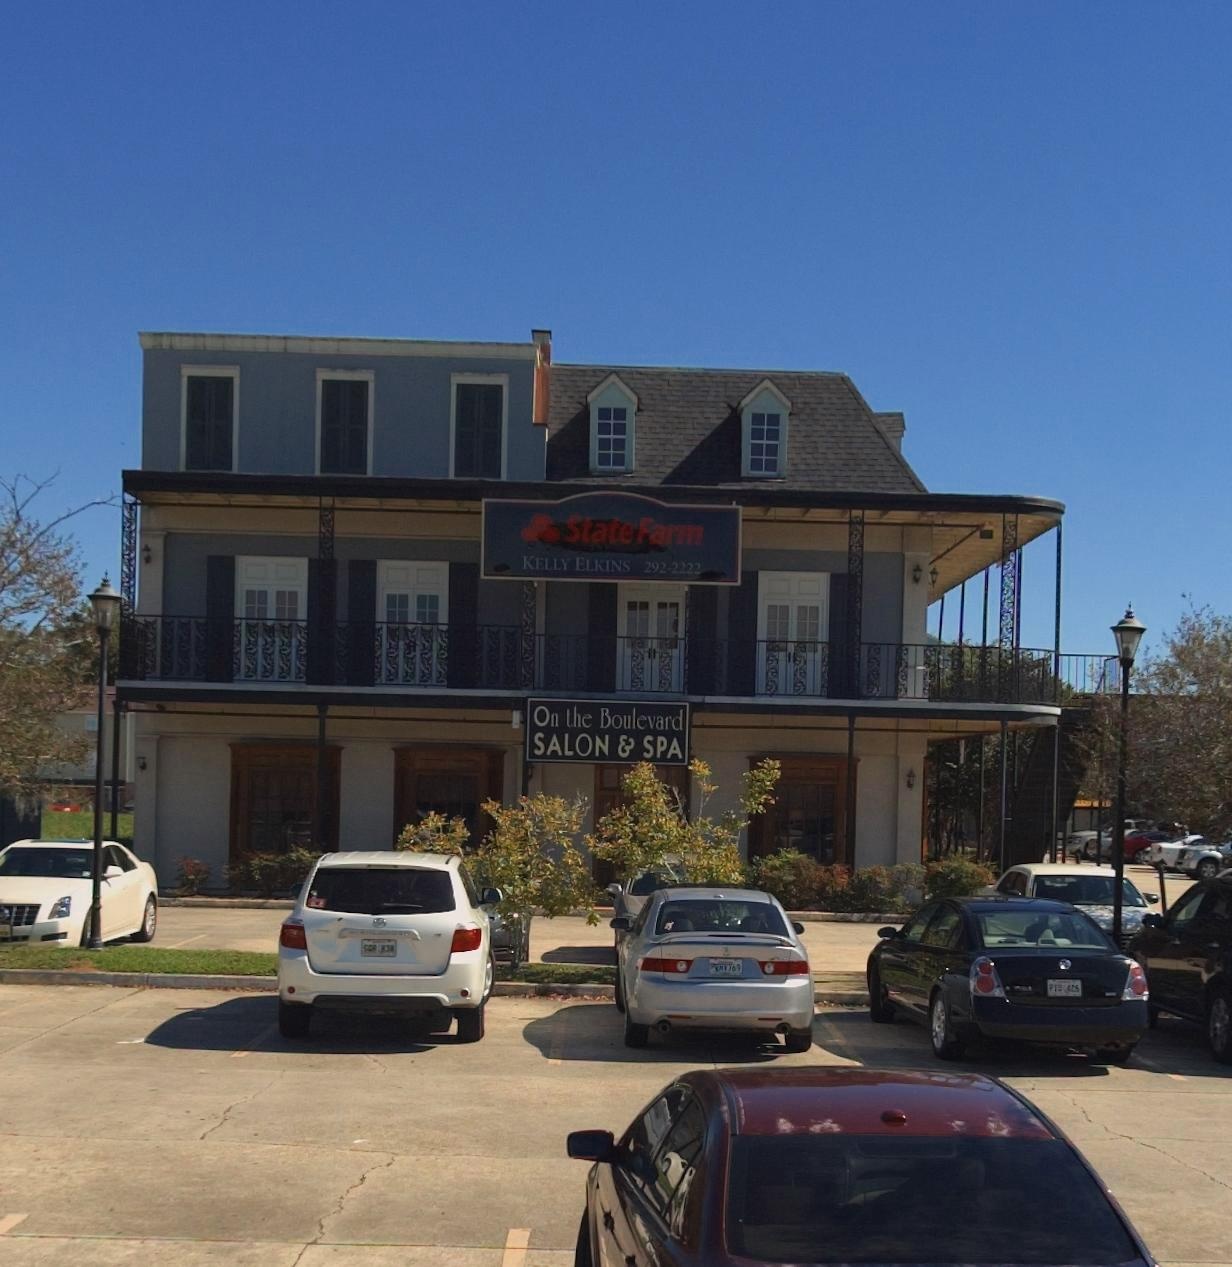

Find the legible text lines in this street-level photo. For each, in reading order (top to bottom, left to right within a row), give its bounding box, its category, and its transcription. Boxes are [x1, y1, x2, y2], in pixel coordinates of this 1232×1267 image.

[559, 512, 709, 548] BusinessName: StateFarm
[520, 553, 704, 577] None: KELLY ELKINS 292-2222
[531, 703, 686, 733] BusinessName: On the Boulevard
[531, 729, 685, 762] BusinessName: SALON * SPA